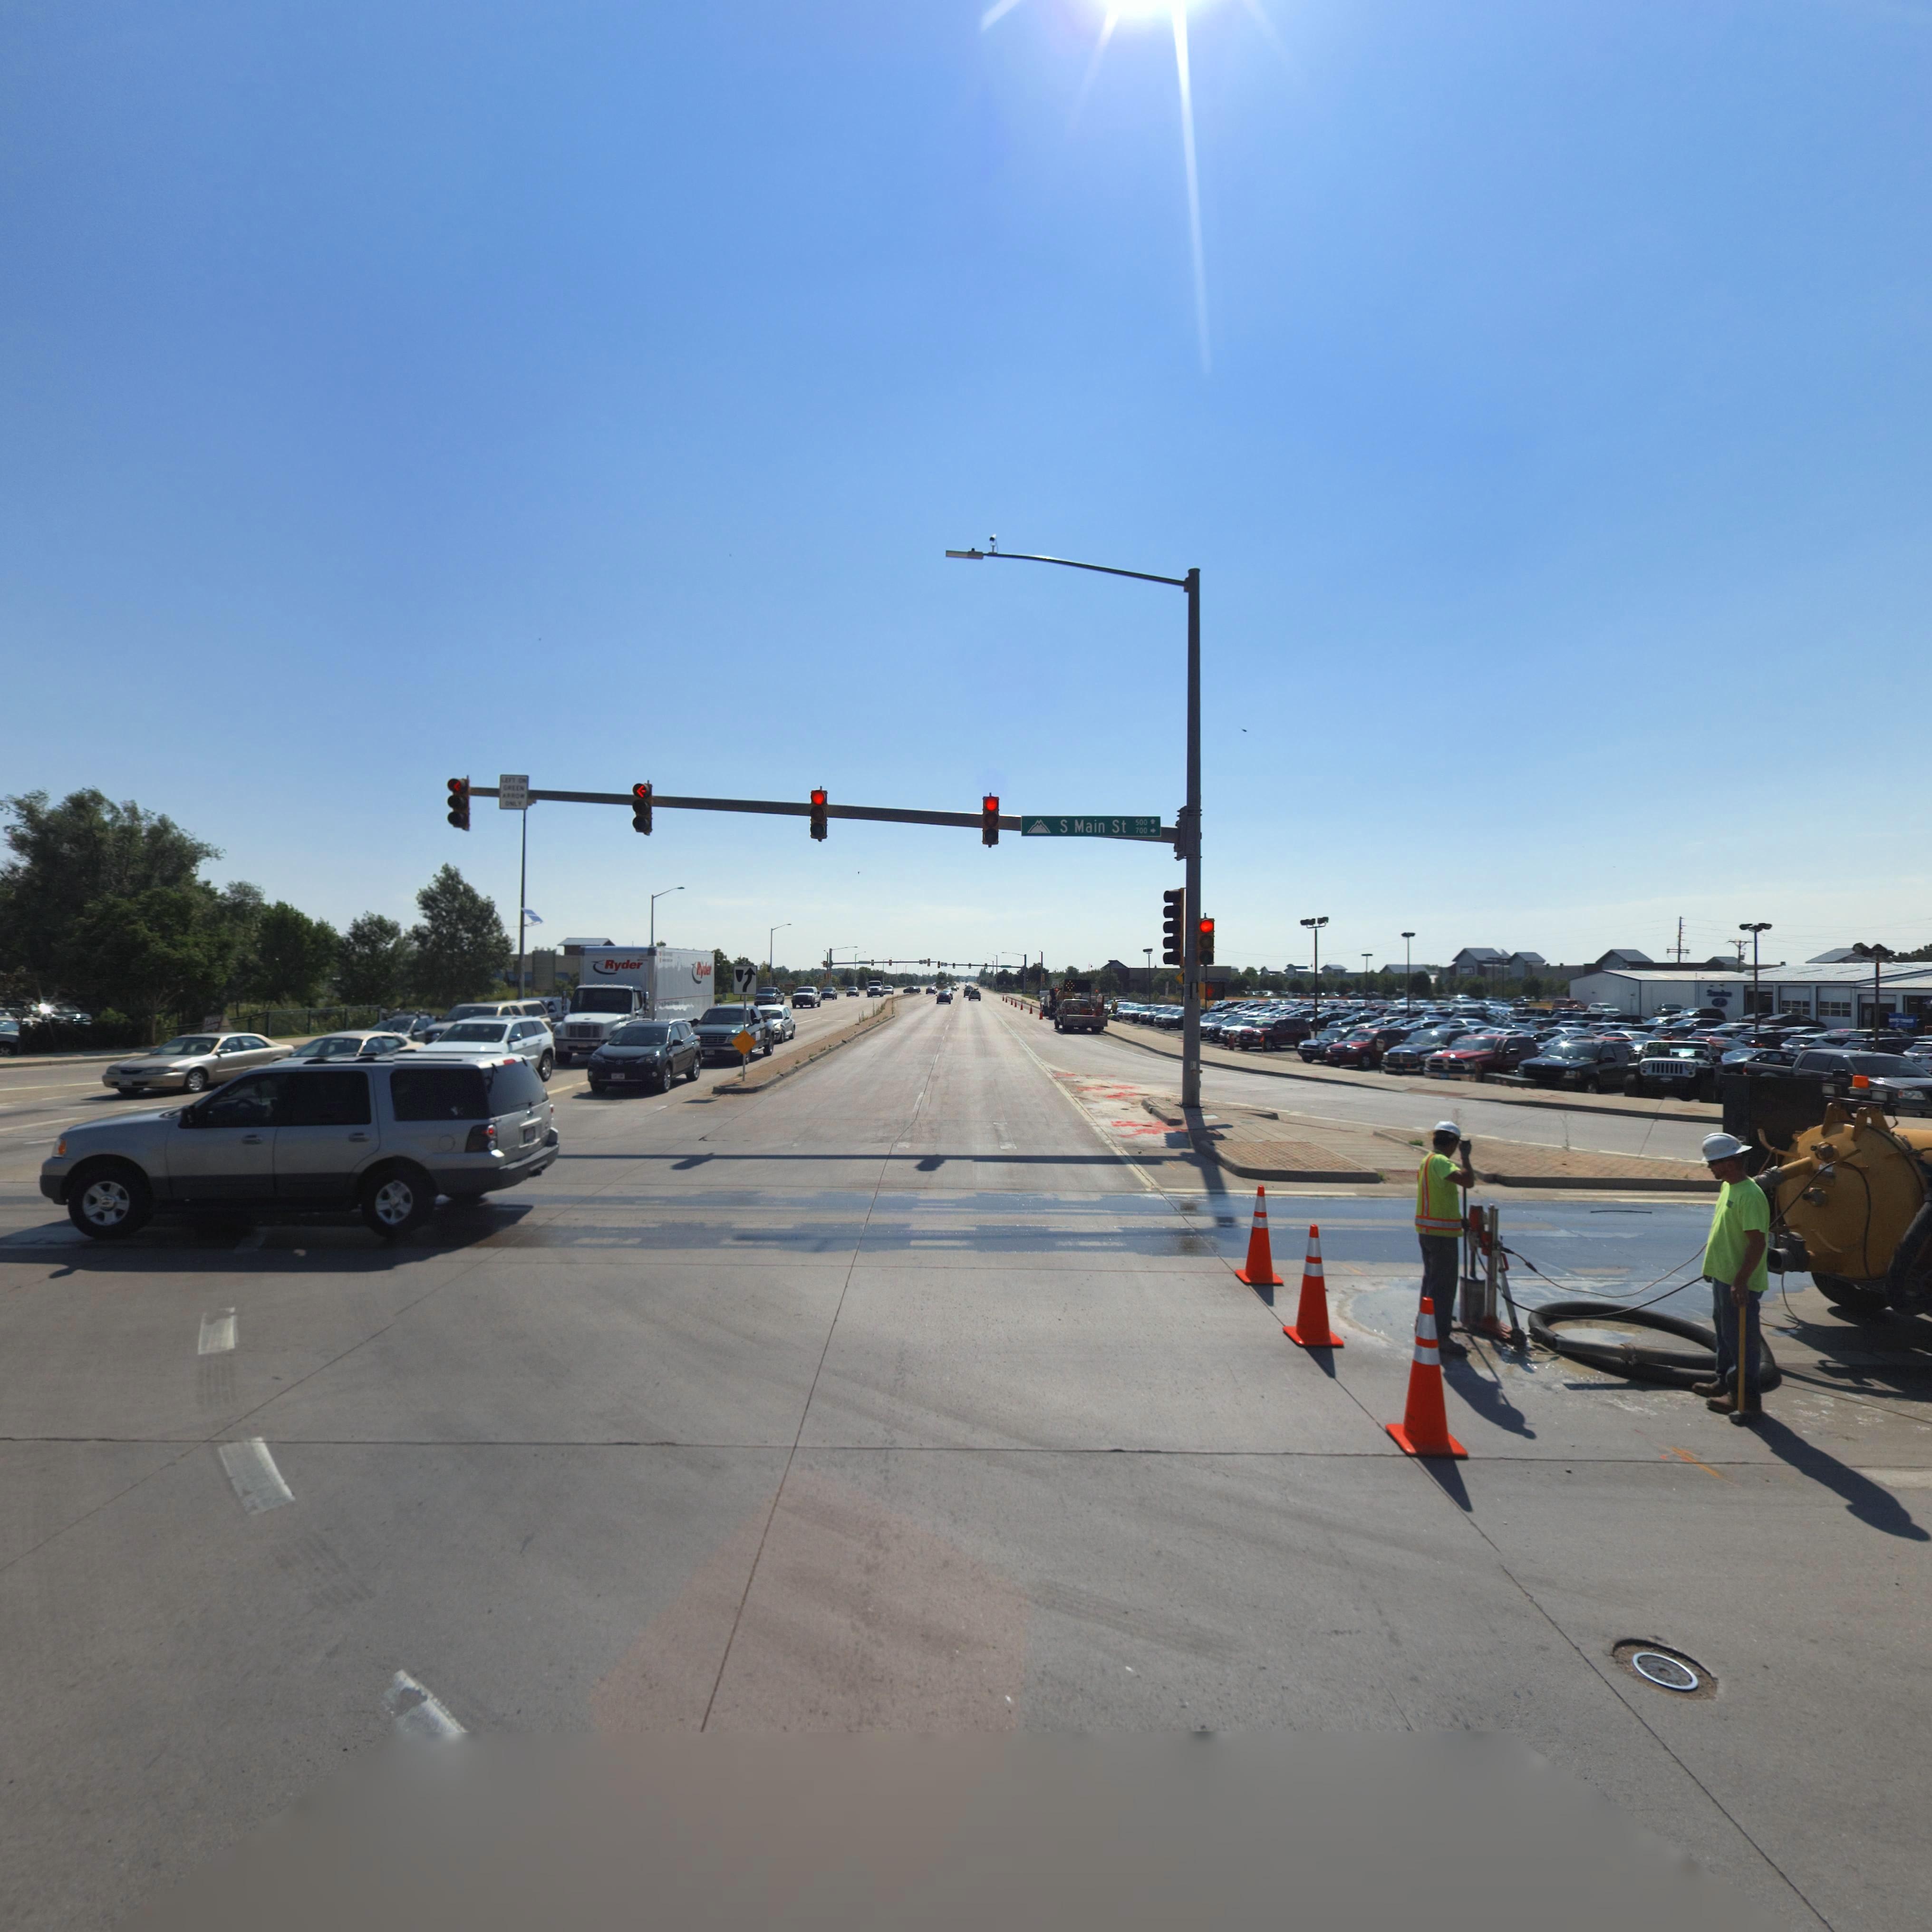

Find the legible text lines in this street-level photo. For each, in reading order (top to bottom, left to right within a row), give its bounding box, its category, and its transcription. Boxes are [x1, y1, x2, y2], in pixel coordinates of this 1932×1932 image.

[1135, 819, 1148, 825] StreetName: 500
[1060, 819, 1127, 833] StreetName: S Main St
[1135, 827, 1157, 833] StreetNumberRange: 700->
[1458, 966, 1474, 974] BusinessName: LO**'S